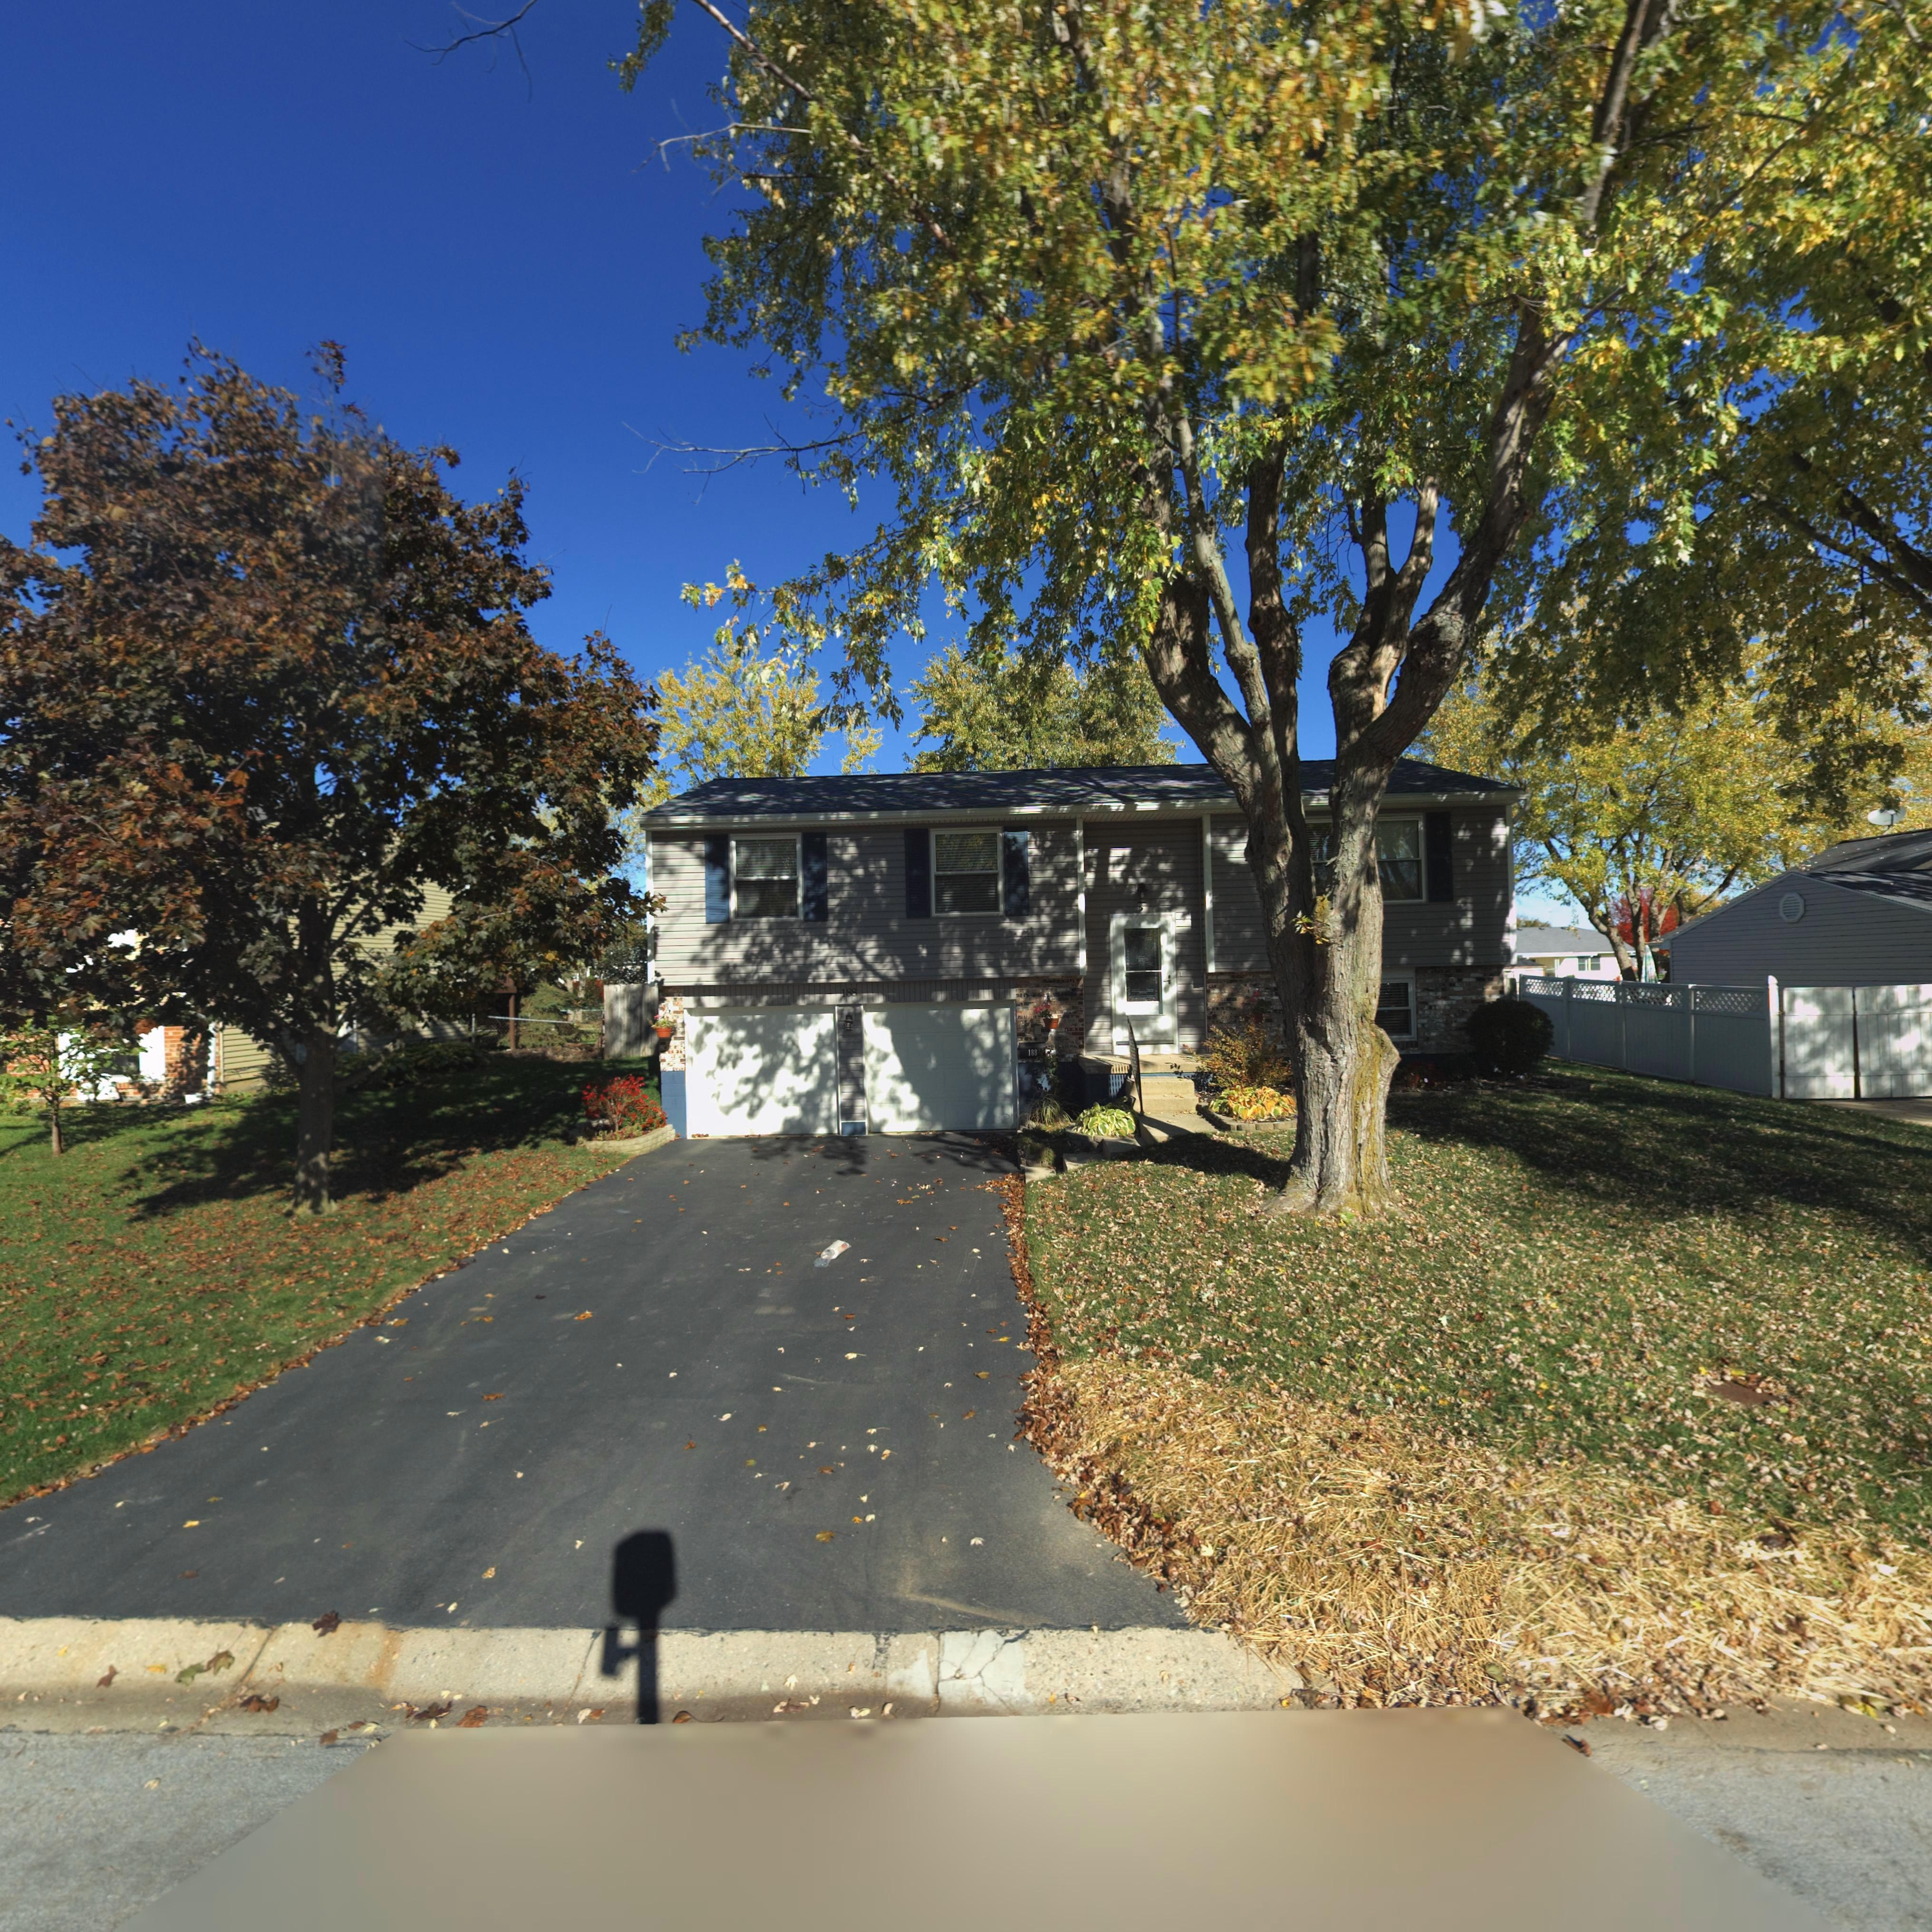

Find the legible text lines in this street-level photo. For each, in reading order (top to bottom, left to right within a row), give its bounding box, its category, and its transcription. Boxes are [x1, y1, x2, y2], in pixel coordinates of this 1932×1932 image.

[841, 987, 858, 998] StreetNumber: 188
[1027, 1048, 1038, 1057] StreetNumber: 188